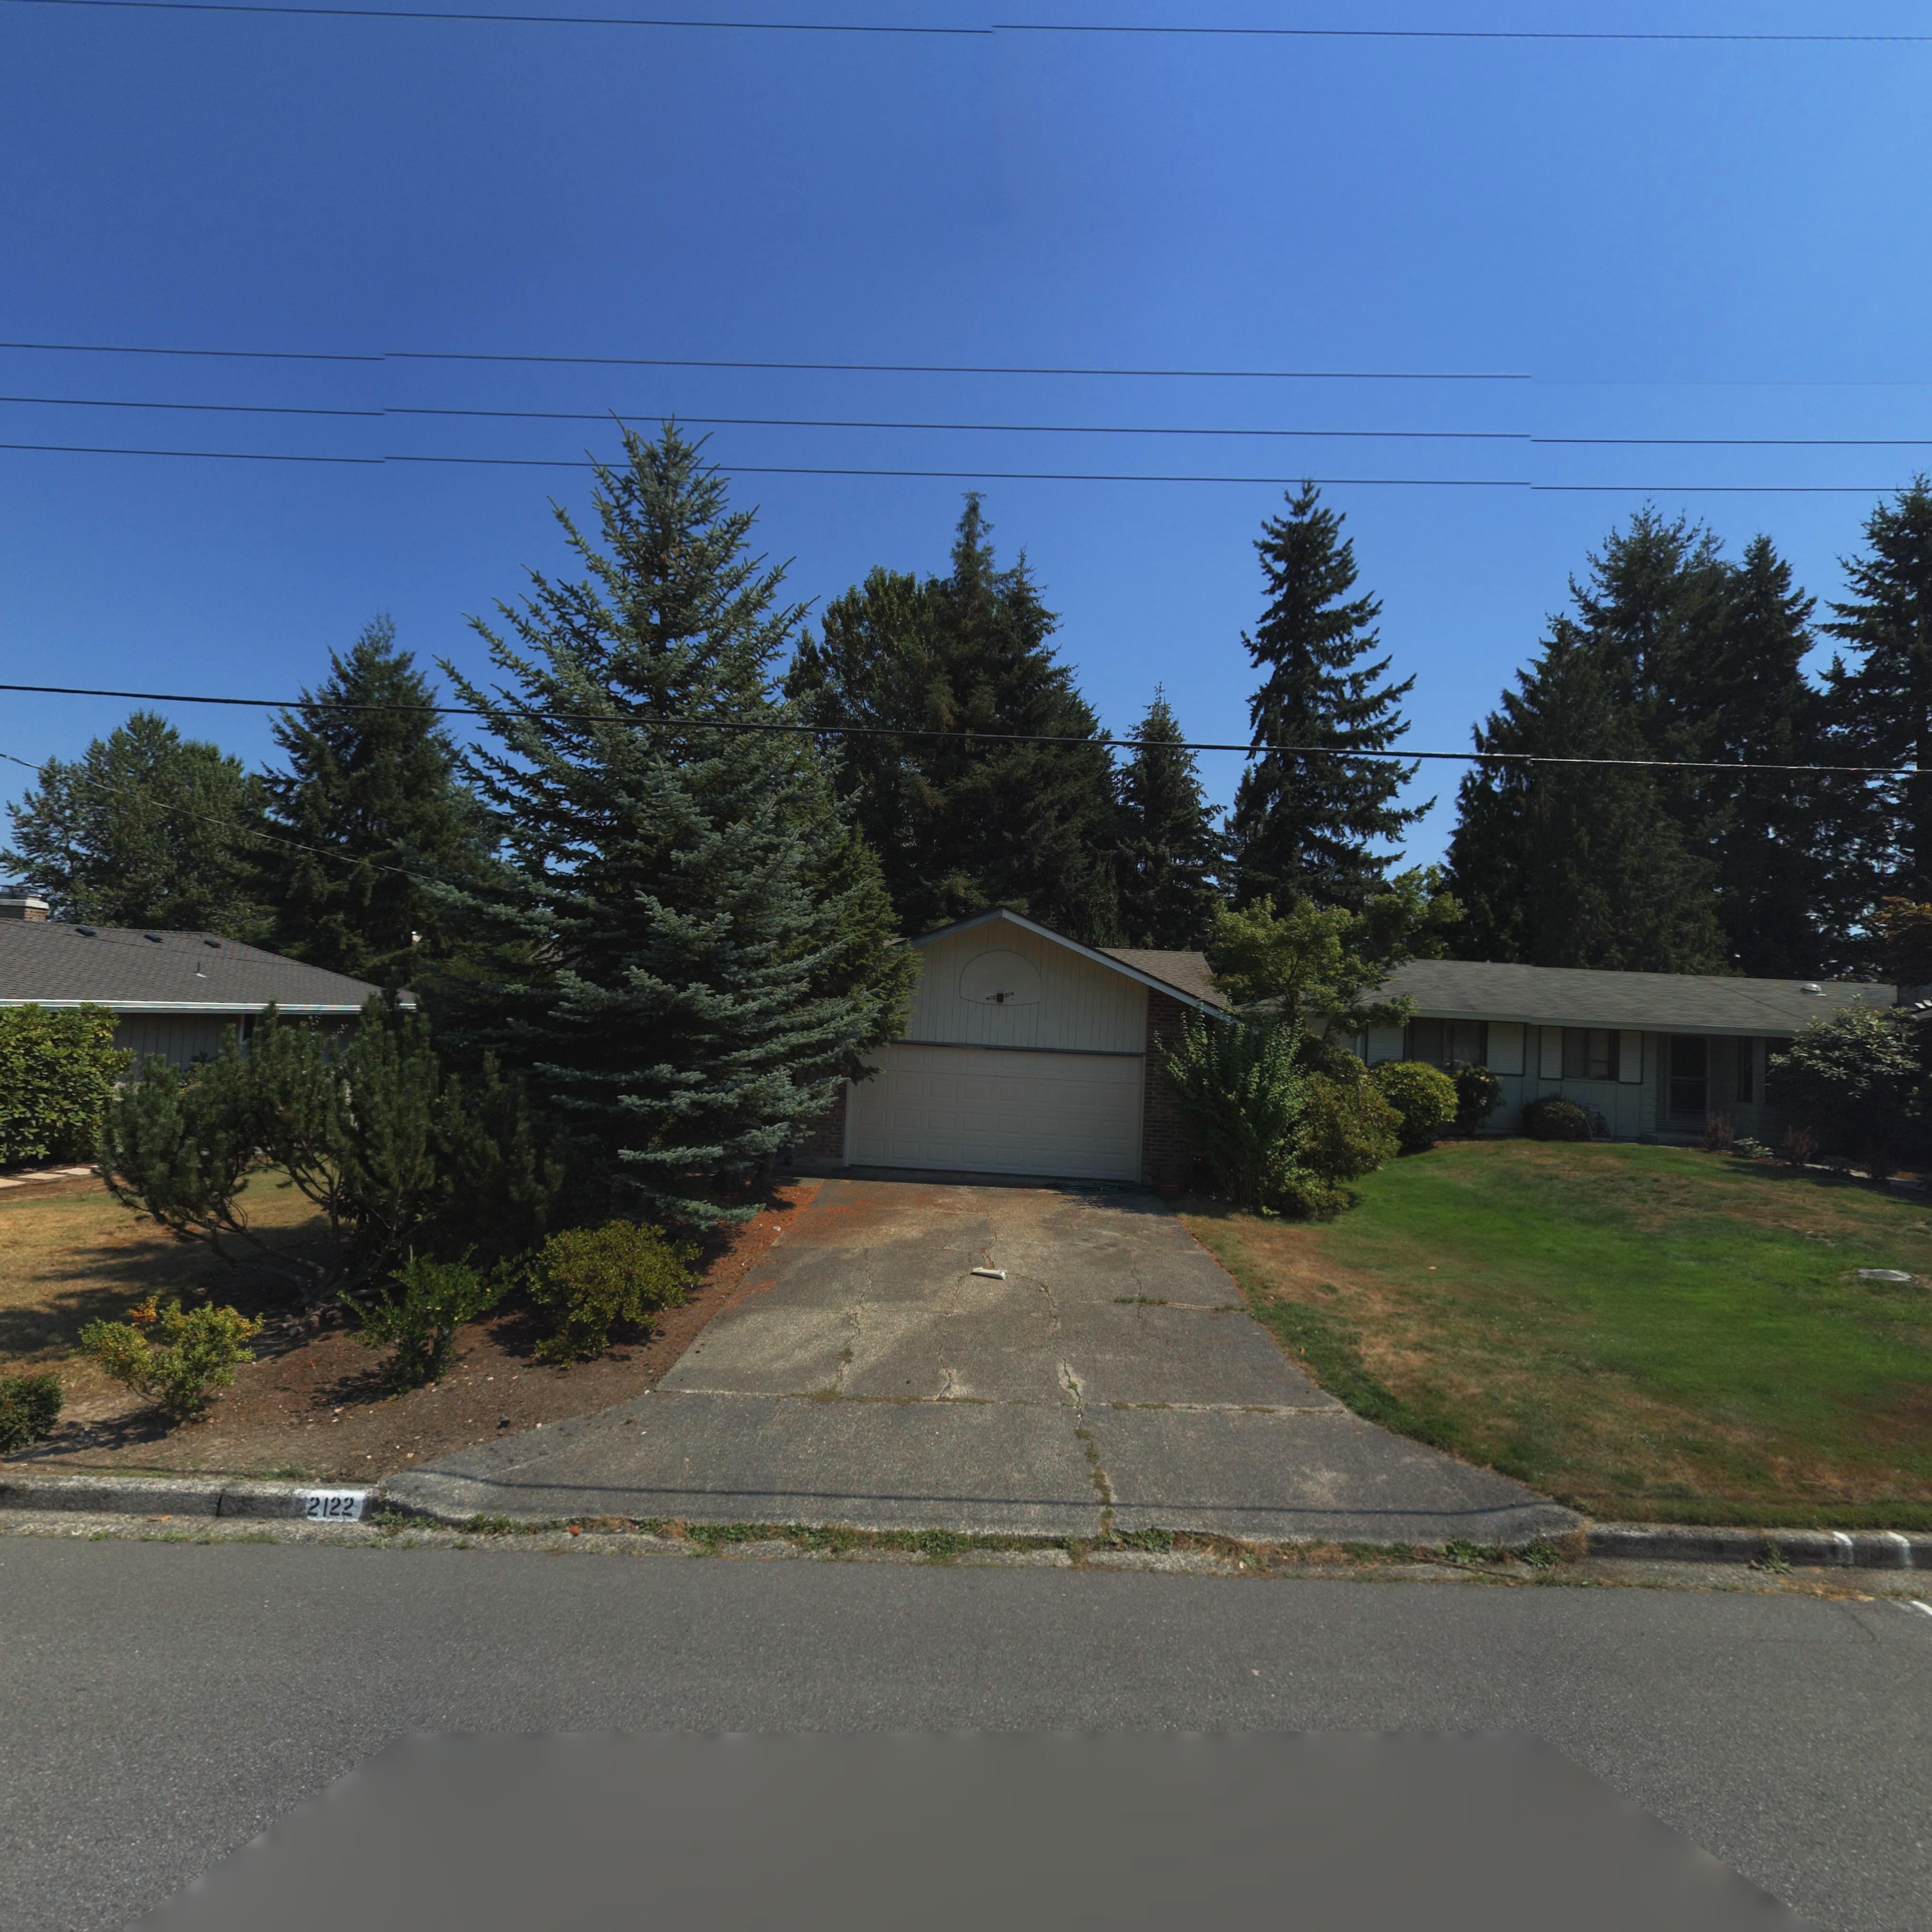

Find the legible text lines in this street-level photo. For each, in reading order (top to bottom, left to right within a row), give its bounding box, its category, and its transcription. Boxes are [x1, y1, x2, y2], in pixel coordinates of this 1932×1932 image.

[304, 1495, 357, 1517] StreetNumber: 2122